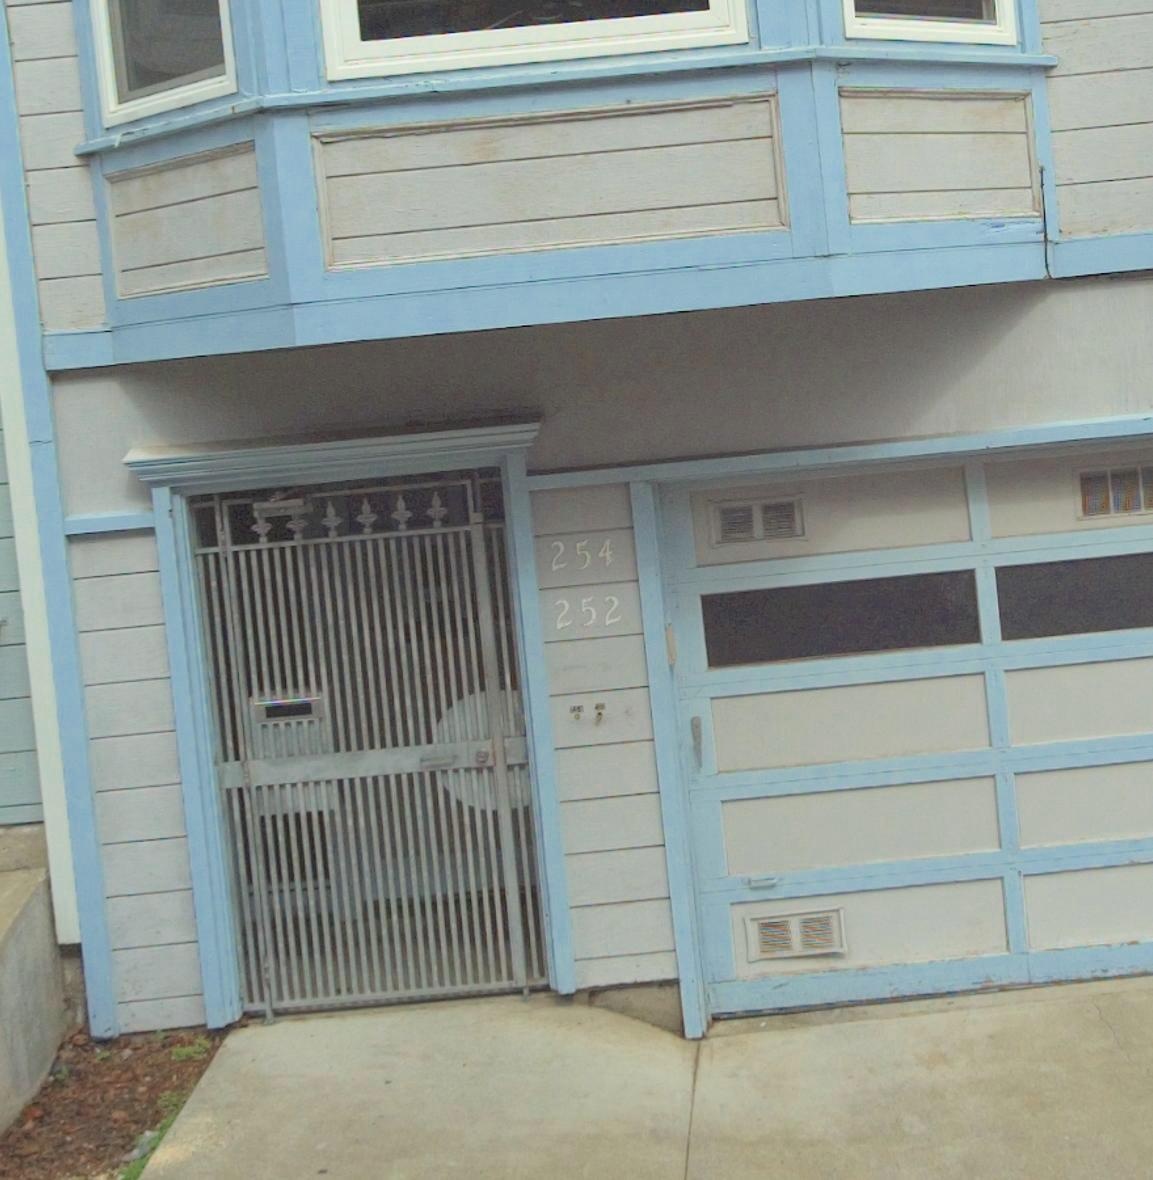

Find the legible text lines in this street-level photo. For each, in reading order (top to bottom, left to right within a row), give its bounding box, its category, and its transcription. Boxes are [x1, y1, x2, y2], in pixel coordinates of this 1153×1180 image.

[546, 534, 617, 575] StreetNumber: 254
[550, 591, 626, 634] StreetNumber: 252